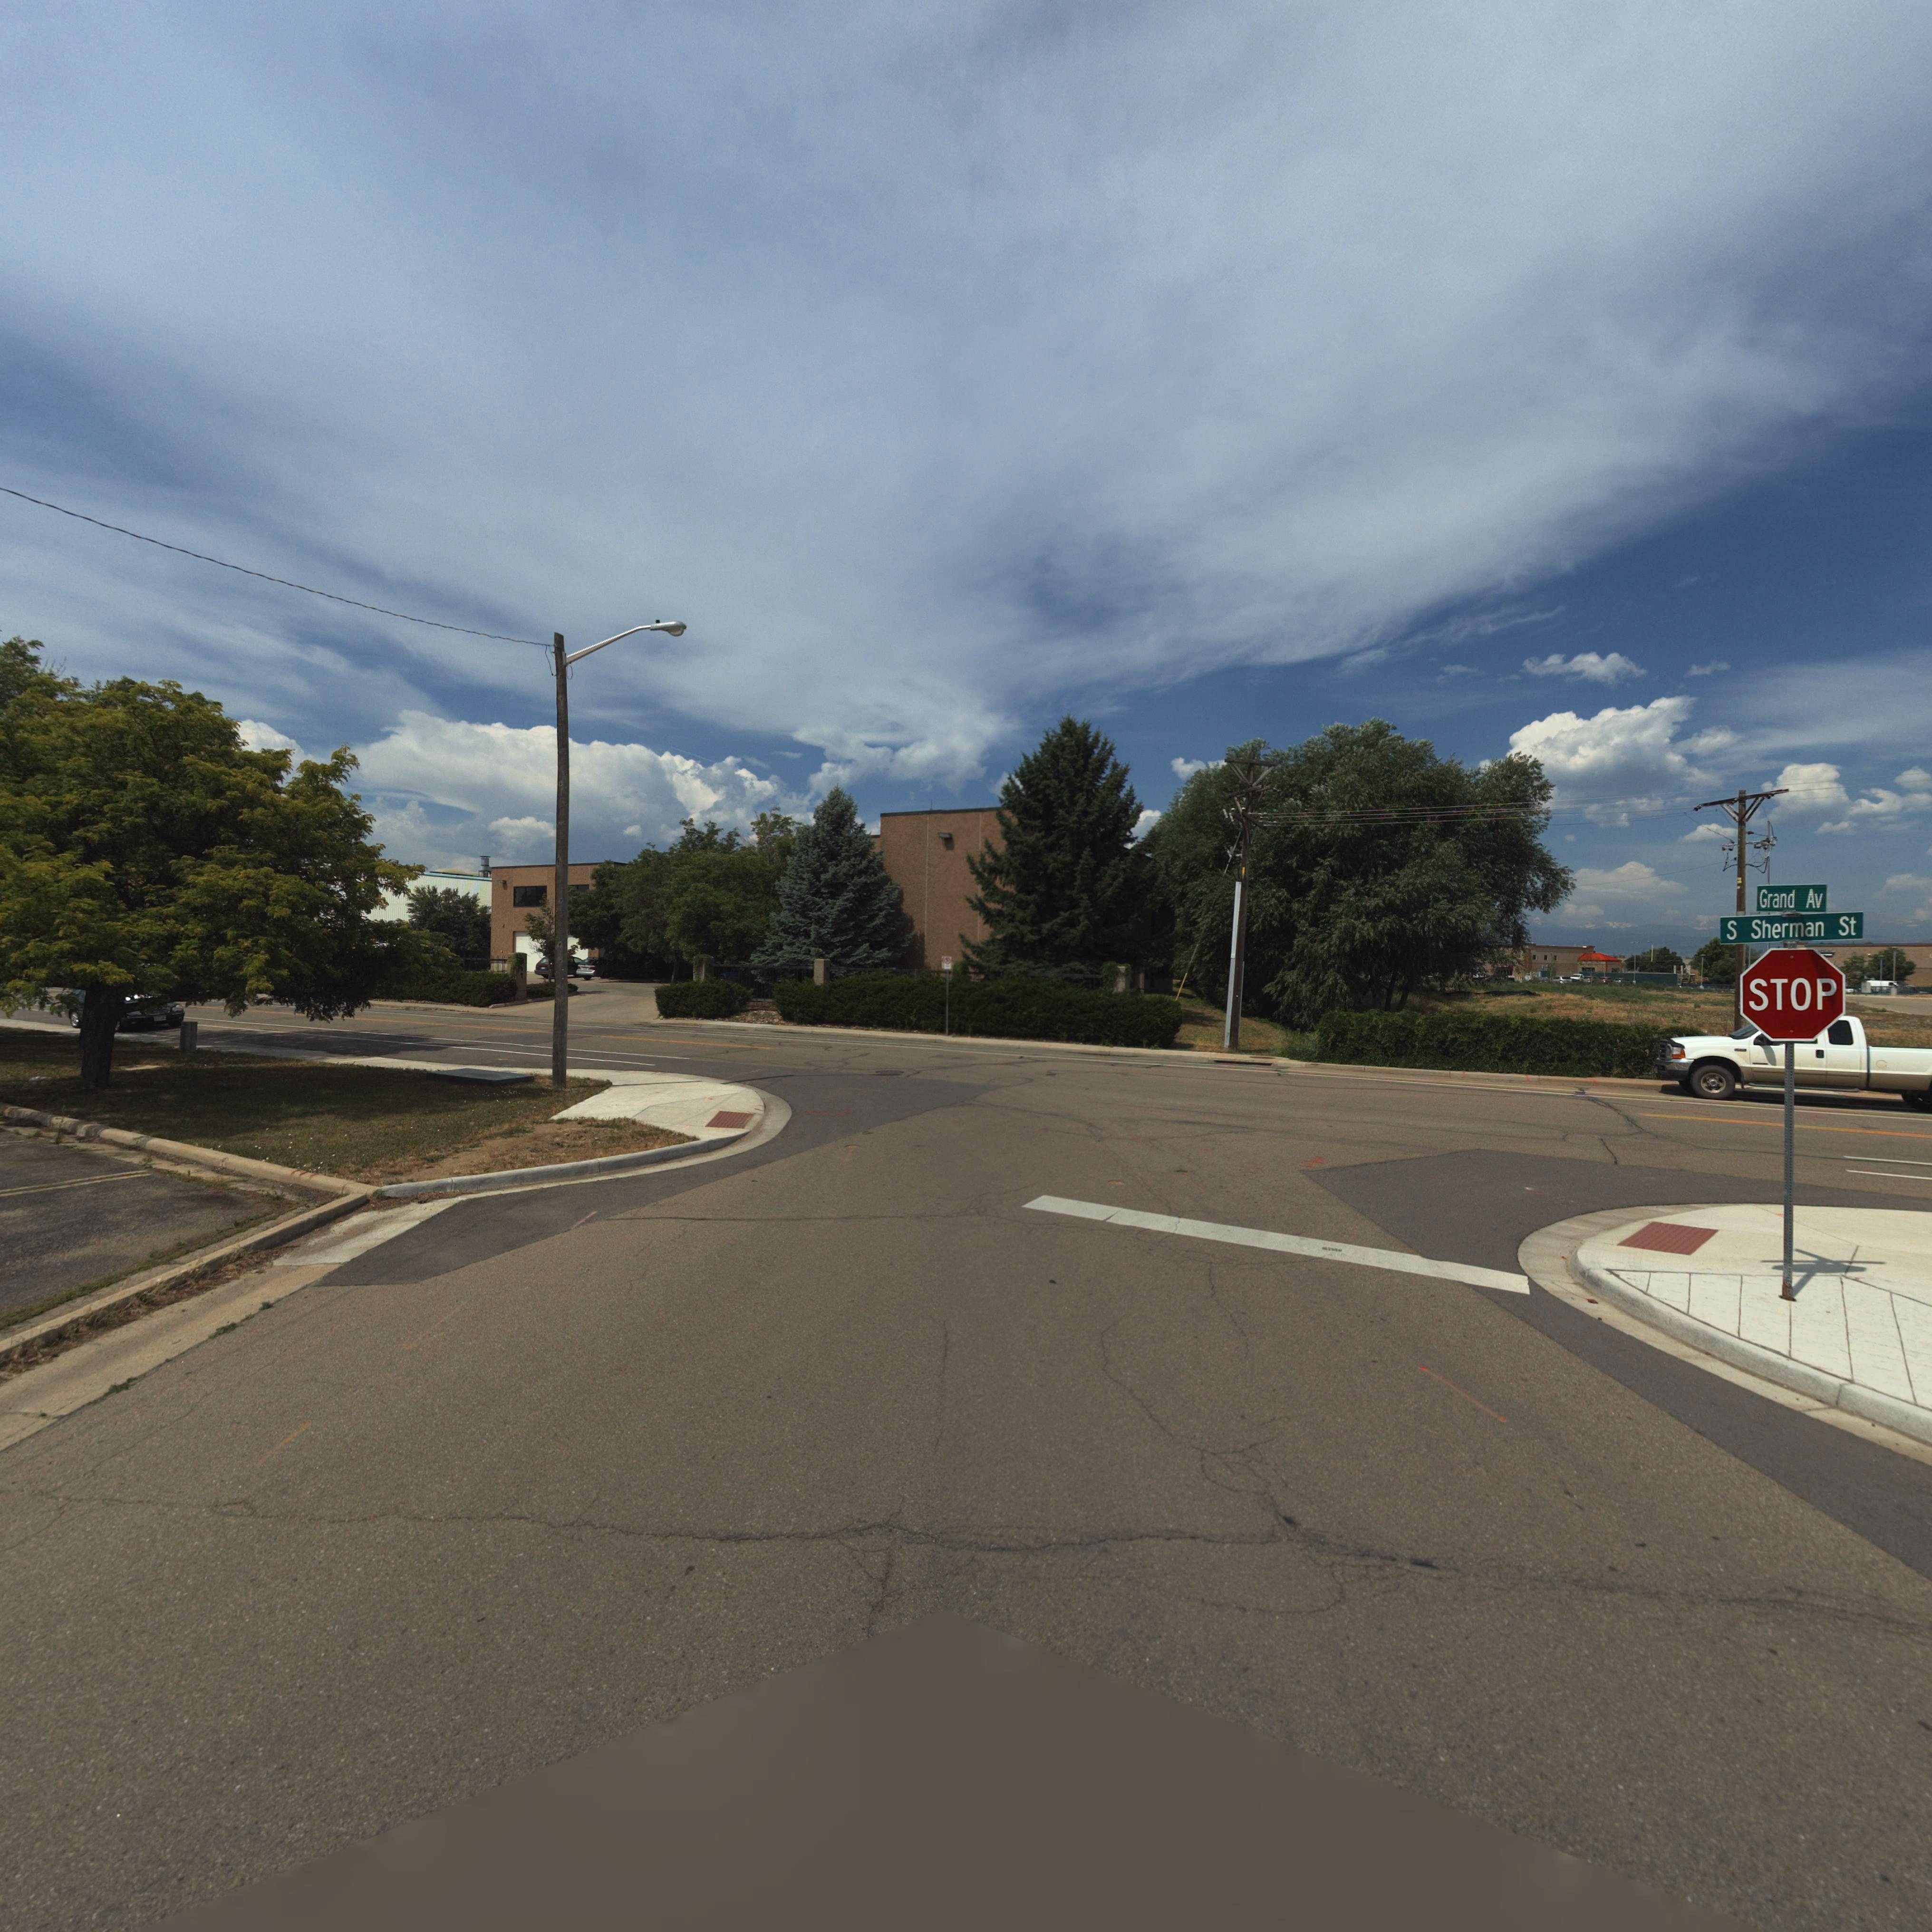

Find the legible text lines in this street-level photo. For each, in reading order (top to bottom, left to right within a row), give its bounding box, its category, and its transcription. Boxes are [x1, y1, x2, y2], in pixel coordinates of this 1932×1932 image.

[1758, 887, 1825, 909] StreetName: Grand Av
[1726, 915, 1857, 940] StreetName: S Sherman St